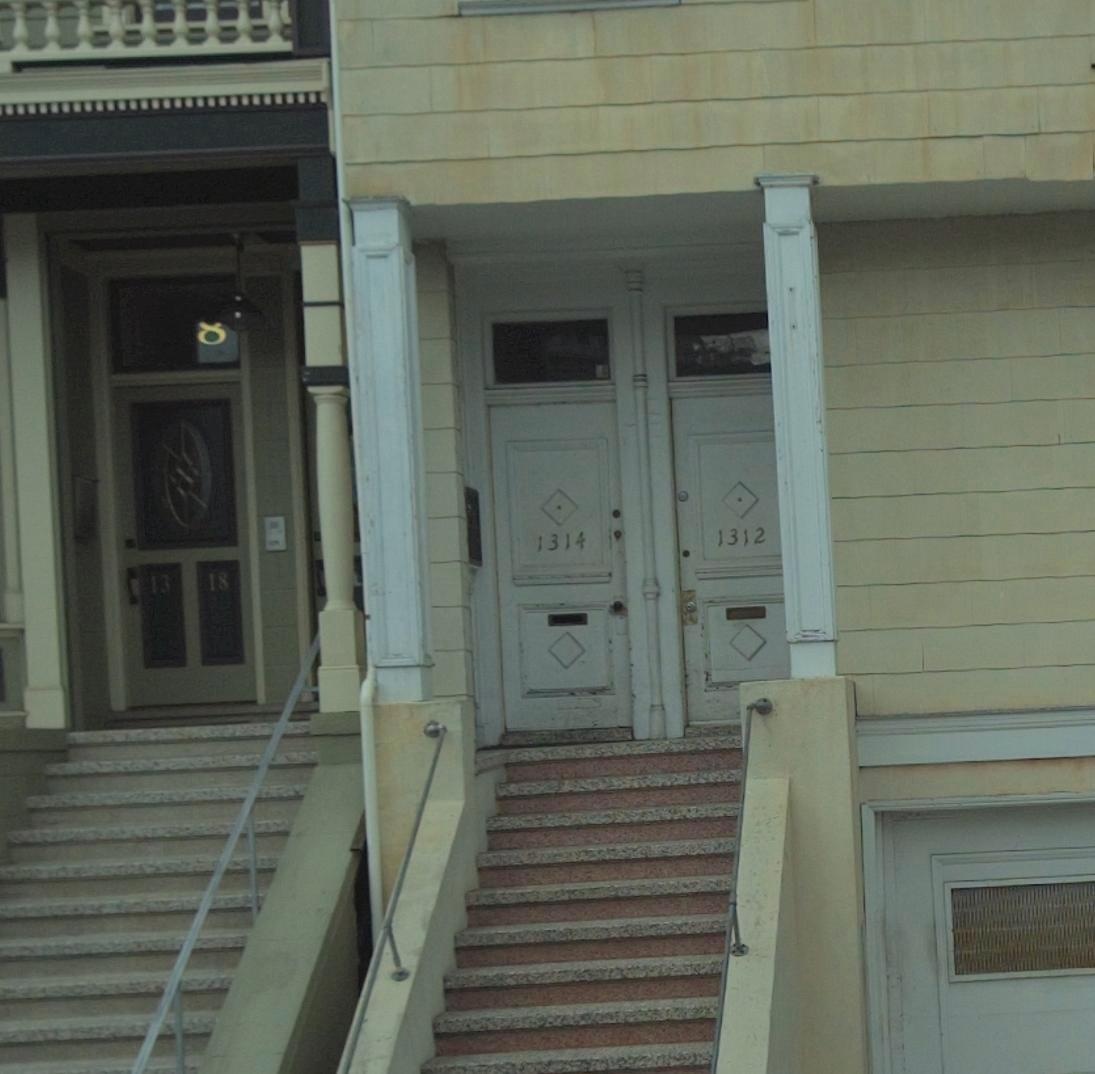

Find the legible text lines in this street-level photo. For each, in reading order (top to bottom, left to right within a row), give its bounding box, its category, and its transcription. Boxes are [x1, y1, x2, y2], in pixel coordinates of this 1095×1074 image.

[196, 311, 229, 347] StreetNumber: 8
[536, 530, 588, 553] StreetNumber: 1314
[717, 526, 767, 546] StreetNumber: 1312
[149, 570, 231, 596] StreetNumber: 13 18